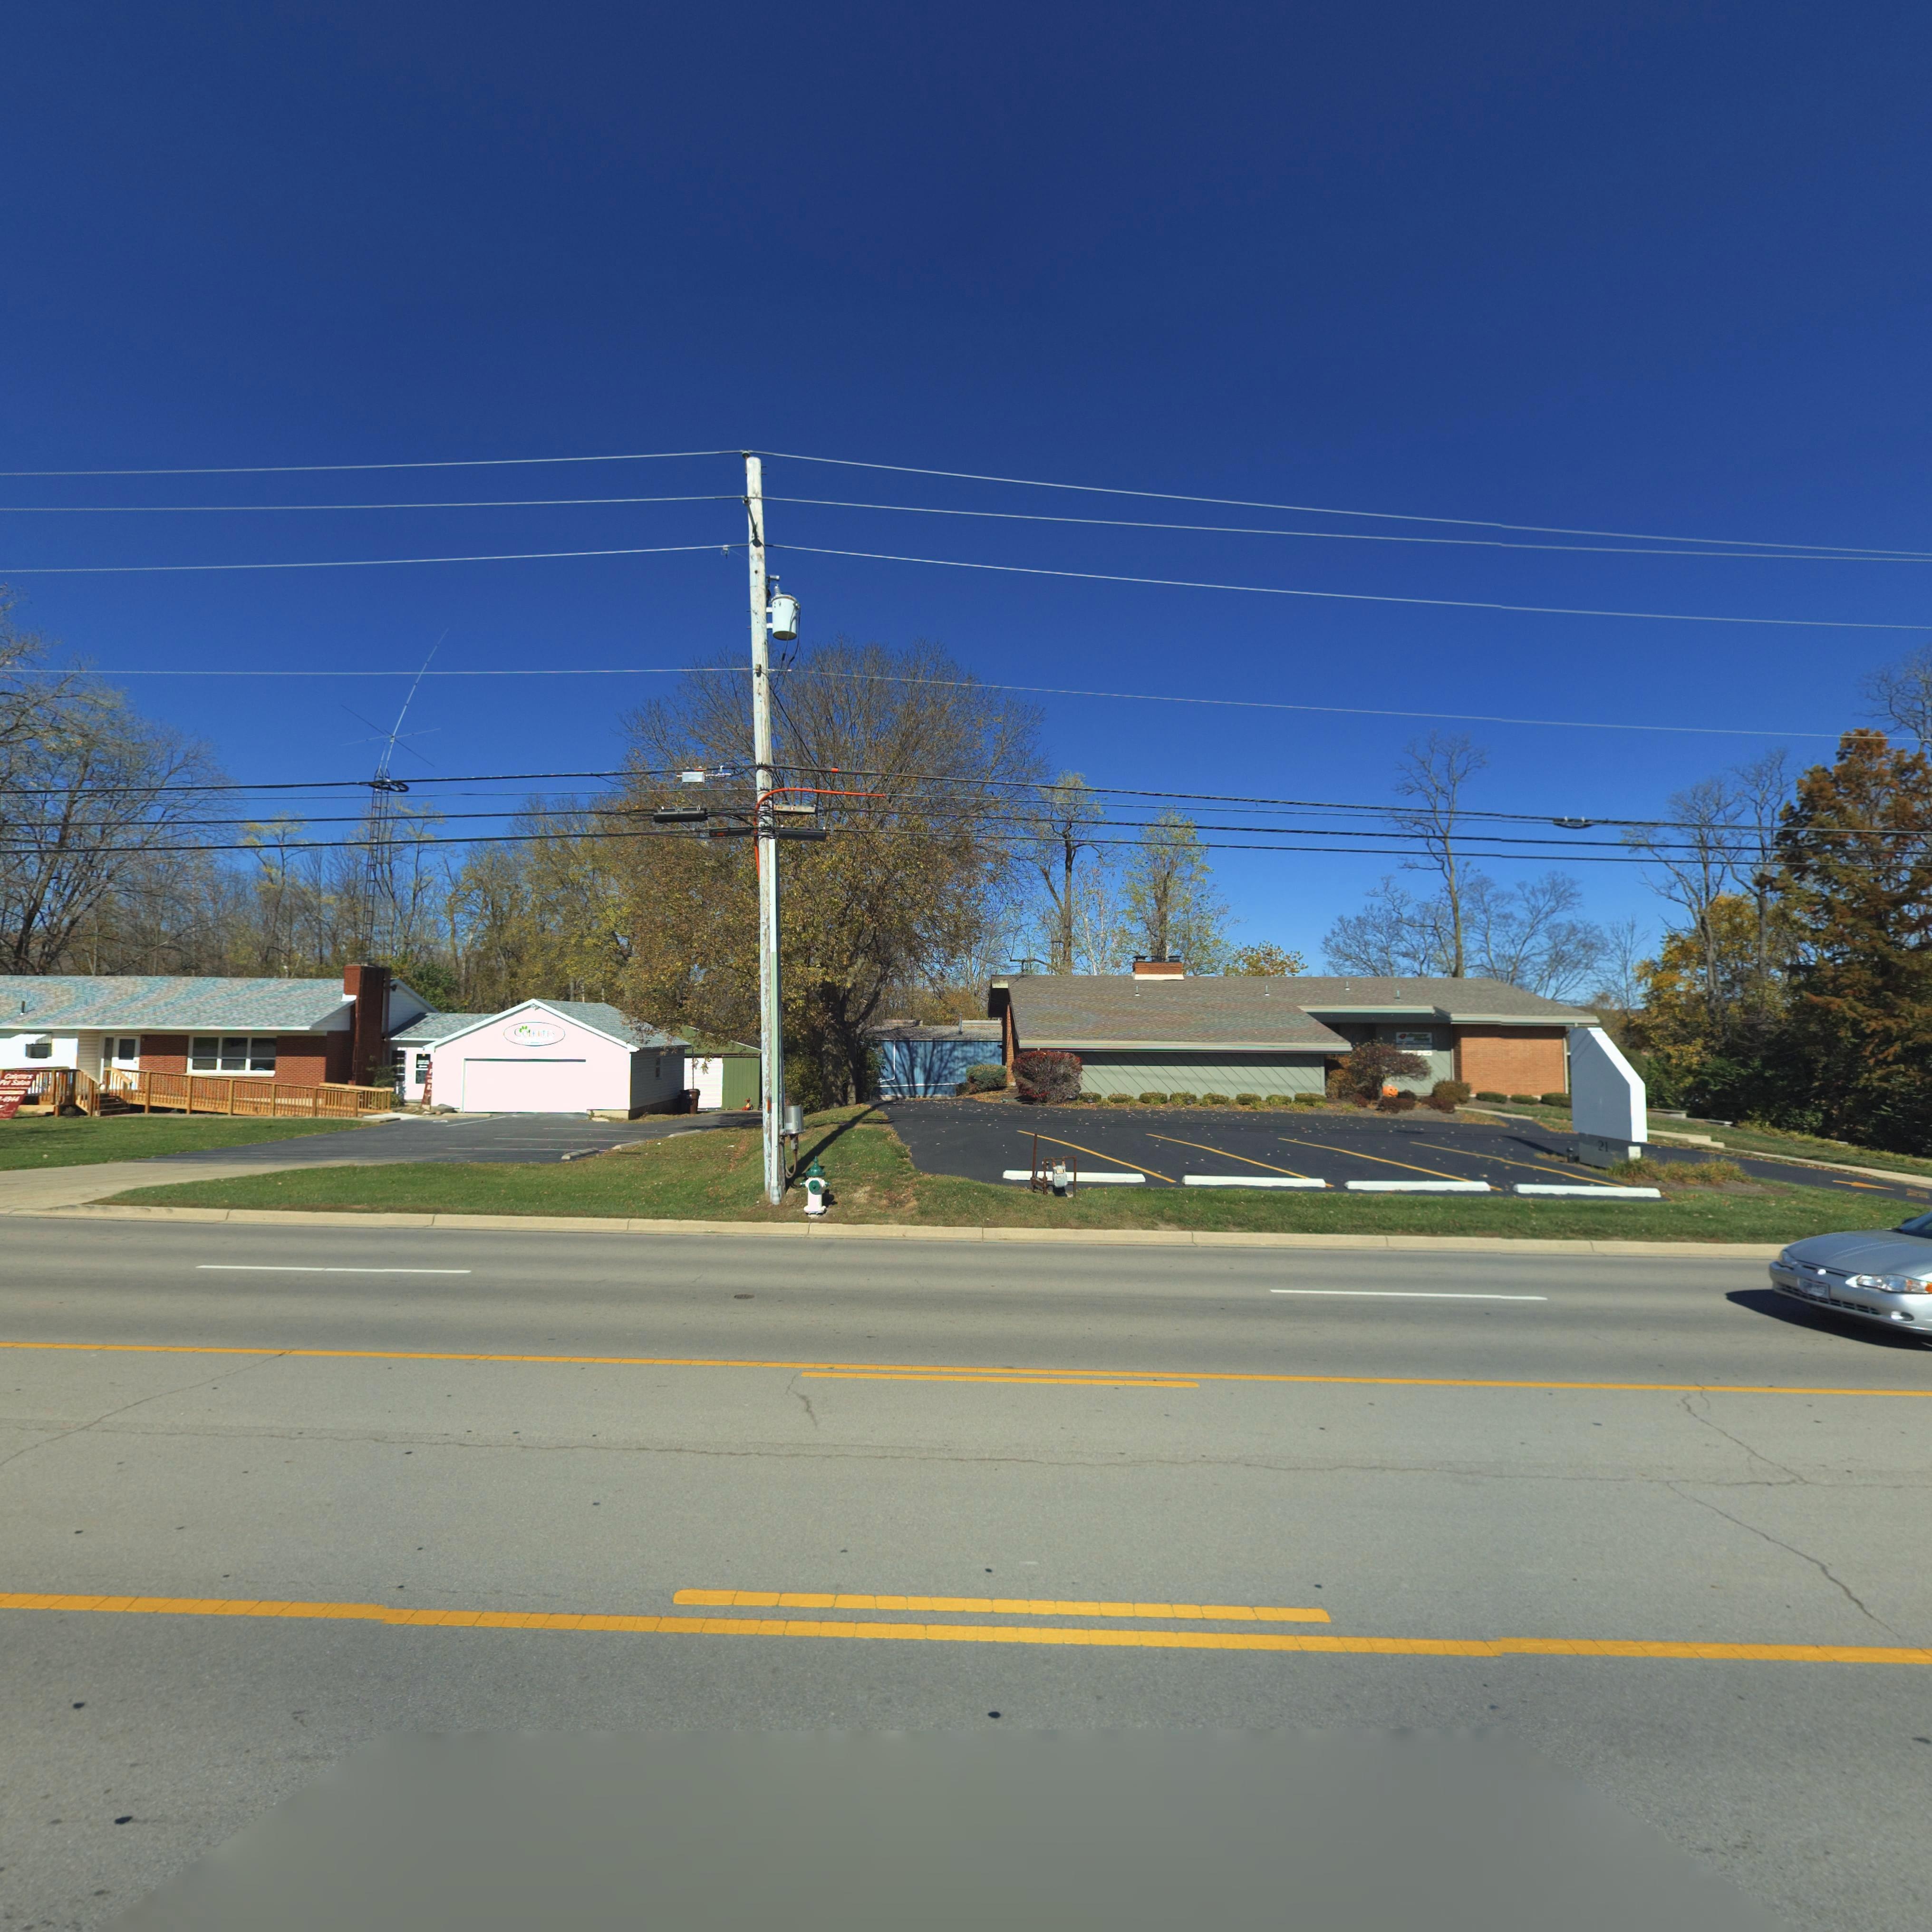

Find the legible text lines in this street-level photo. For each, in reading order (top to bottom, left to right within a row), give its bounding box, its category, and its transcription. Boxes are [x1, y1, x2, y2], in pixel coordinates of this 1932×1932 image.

[513, 1027, 557, 1038] BusinessName: COLETTES
[1596, 1139, 1610, 1154] StreetNumber: 21